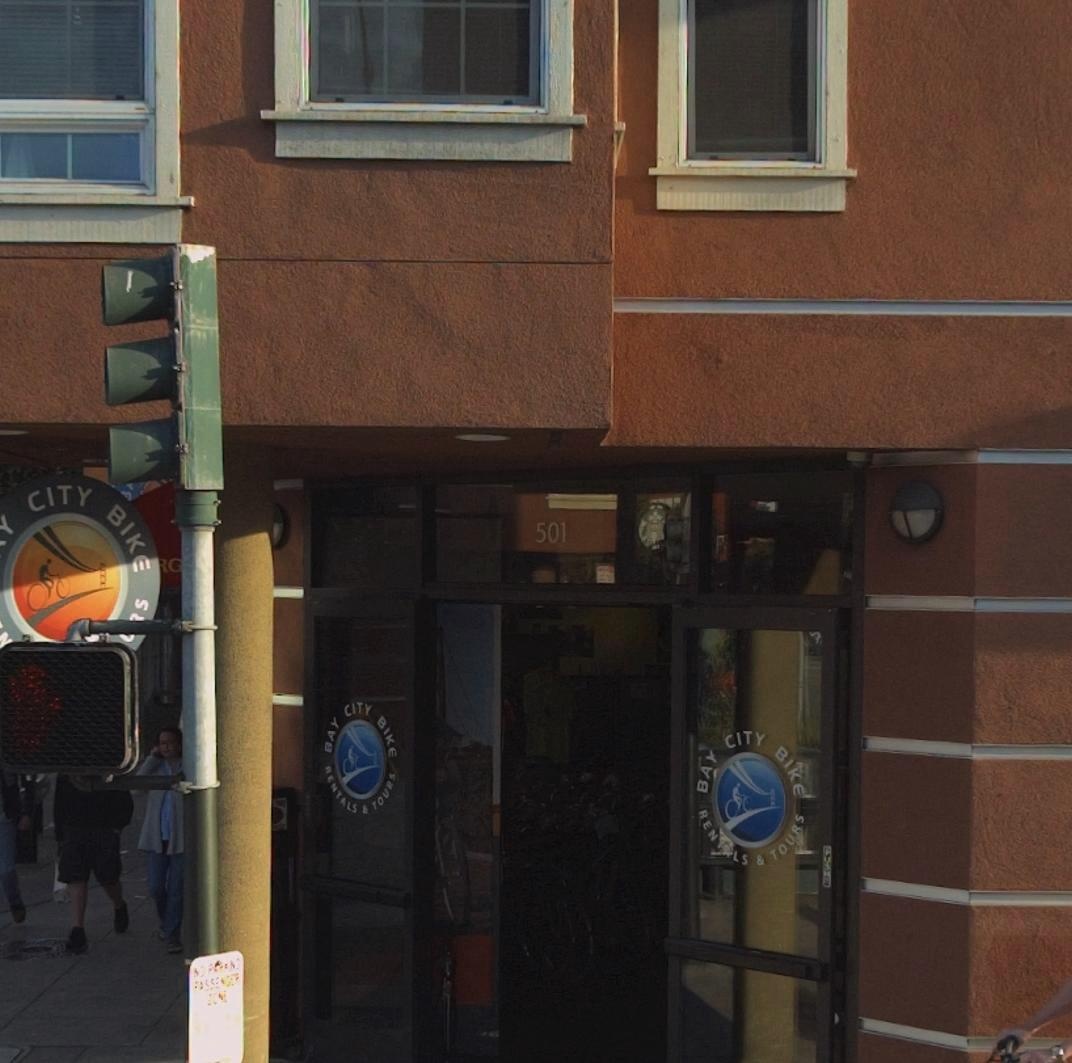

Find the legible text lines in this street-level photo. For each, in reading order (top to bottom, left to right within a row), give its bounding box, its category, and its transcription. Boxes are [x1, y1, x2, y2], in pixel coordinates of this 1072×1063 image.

[21, 481, 154, 575] BusinessName: CITY BIKE
[534, 519, 571, 545] StreetNumber: 501
[129, 593, 151, 616] BusinessName: S
[321, 699, 399, 759] BusinessName: BAY CITY BIKE
[323, 763, 398, 818] BusinessName: RENTALS & TOURS
[694, 726, 810, 800] BusinessName: BAY CITY BIKE
[694, 808, 807, 869] BusinessName: RENTALS & TOURS